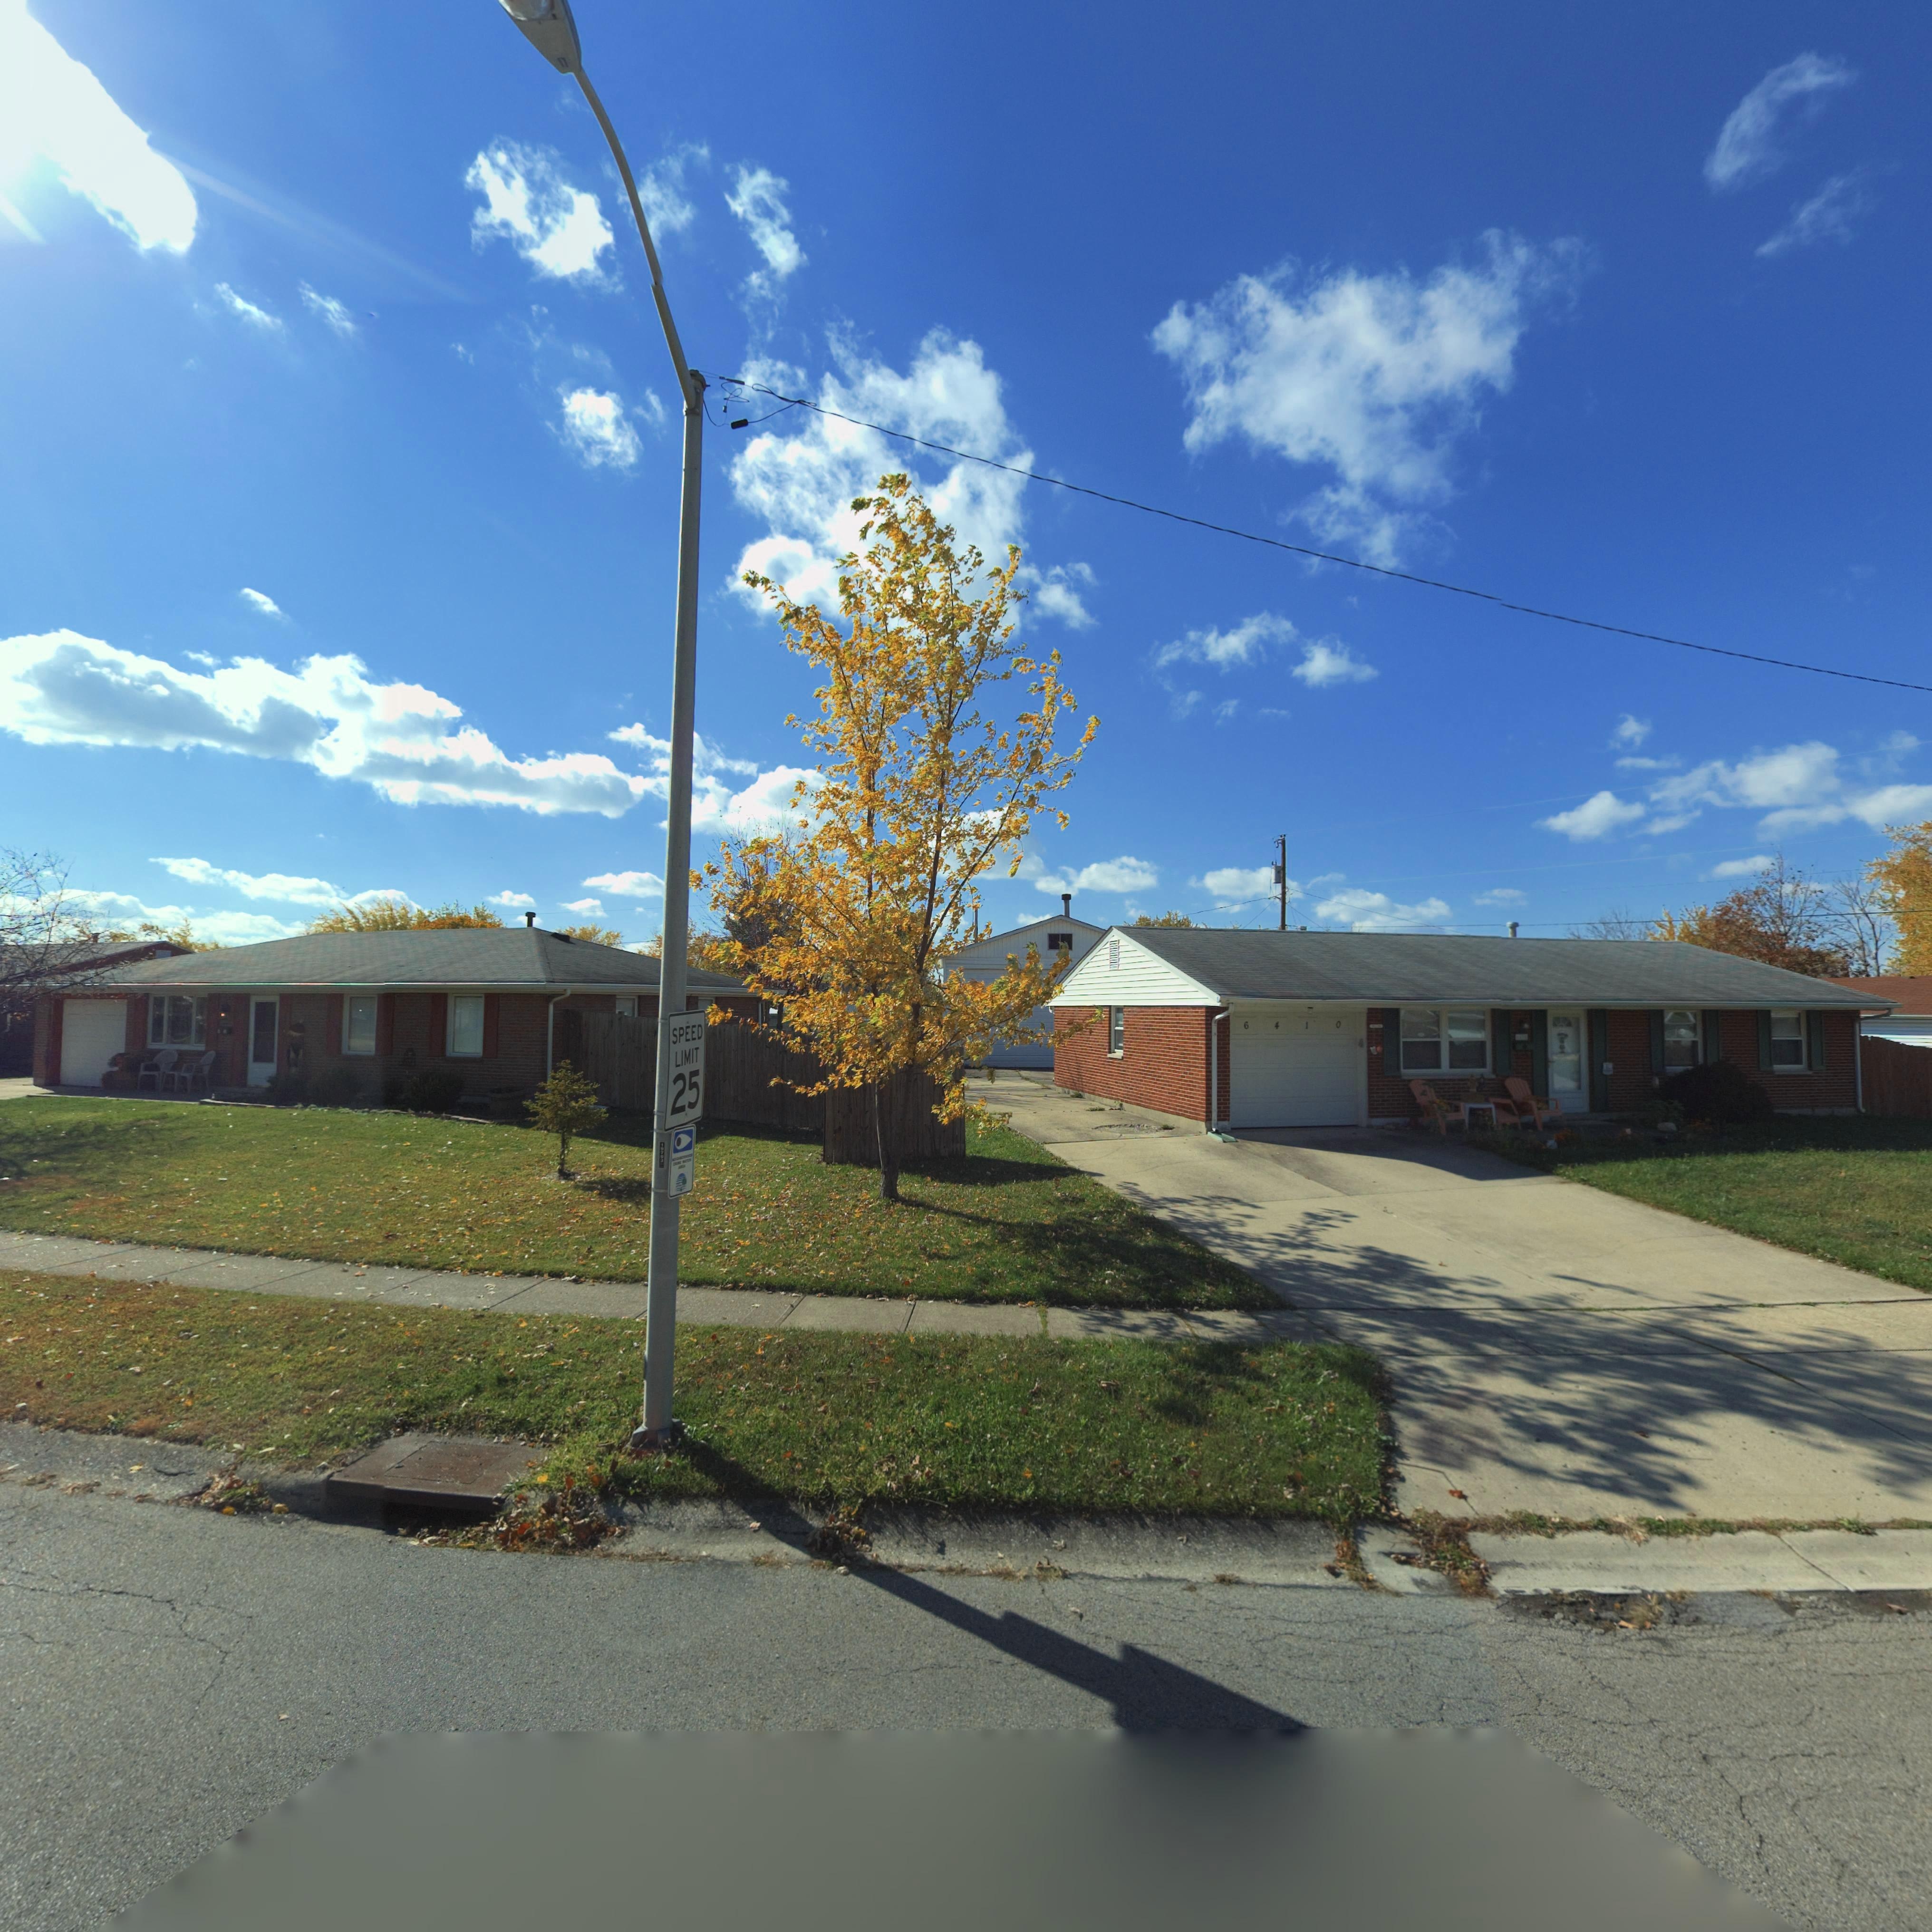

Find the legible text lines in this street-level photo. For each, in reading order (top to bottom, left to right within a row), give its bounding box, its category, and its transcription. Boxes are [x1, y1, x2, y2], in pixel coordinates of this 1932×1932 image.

[1243, 1020, 1342, 1030] StreetNumber: 6410